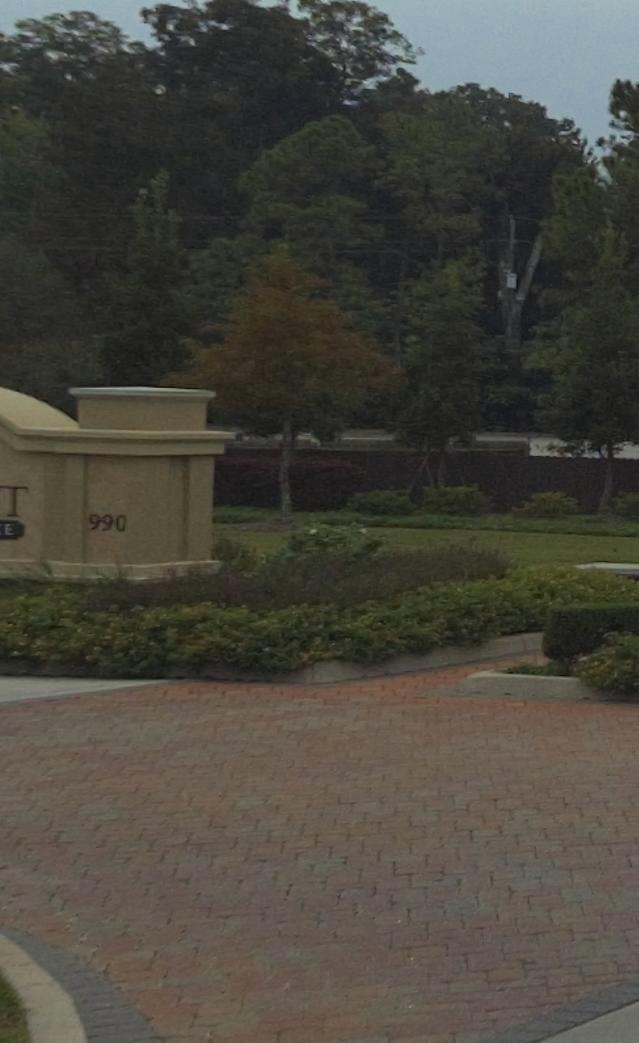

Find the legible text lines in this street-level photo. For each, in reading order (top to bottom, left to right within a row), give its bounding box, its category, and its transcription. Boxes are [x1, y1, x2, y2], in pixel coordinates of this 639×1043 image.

[0, 485, 31, 517] None: T
[4, 522, 14, 536] None: E
[88, 513, 128, 532] StreetNumber: 990